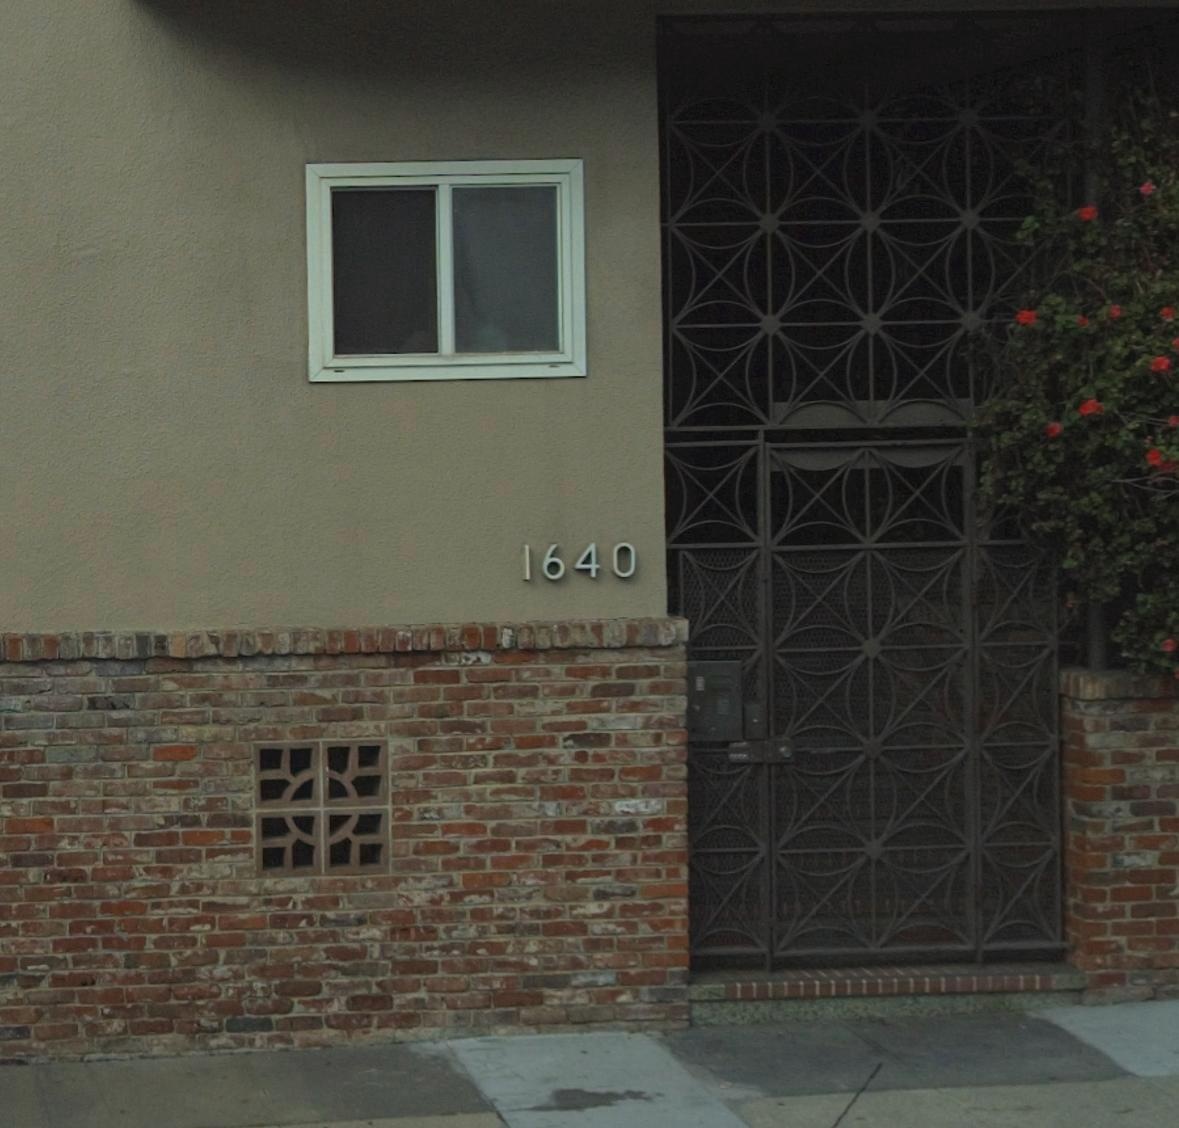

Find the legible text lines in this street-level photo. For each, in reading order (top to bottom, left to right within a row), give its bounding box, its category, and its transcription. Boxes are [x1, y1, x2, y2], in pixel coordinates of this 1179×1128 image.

[521, 540, 639, 584] StreetNumber: 1640